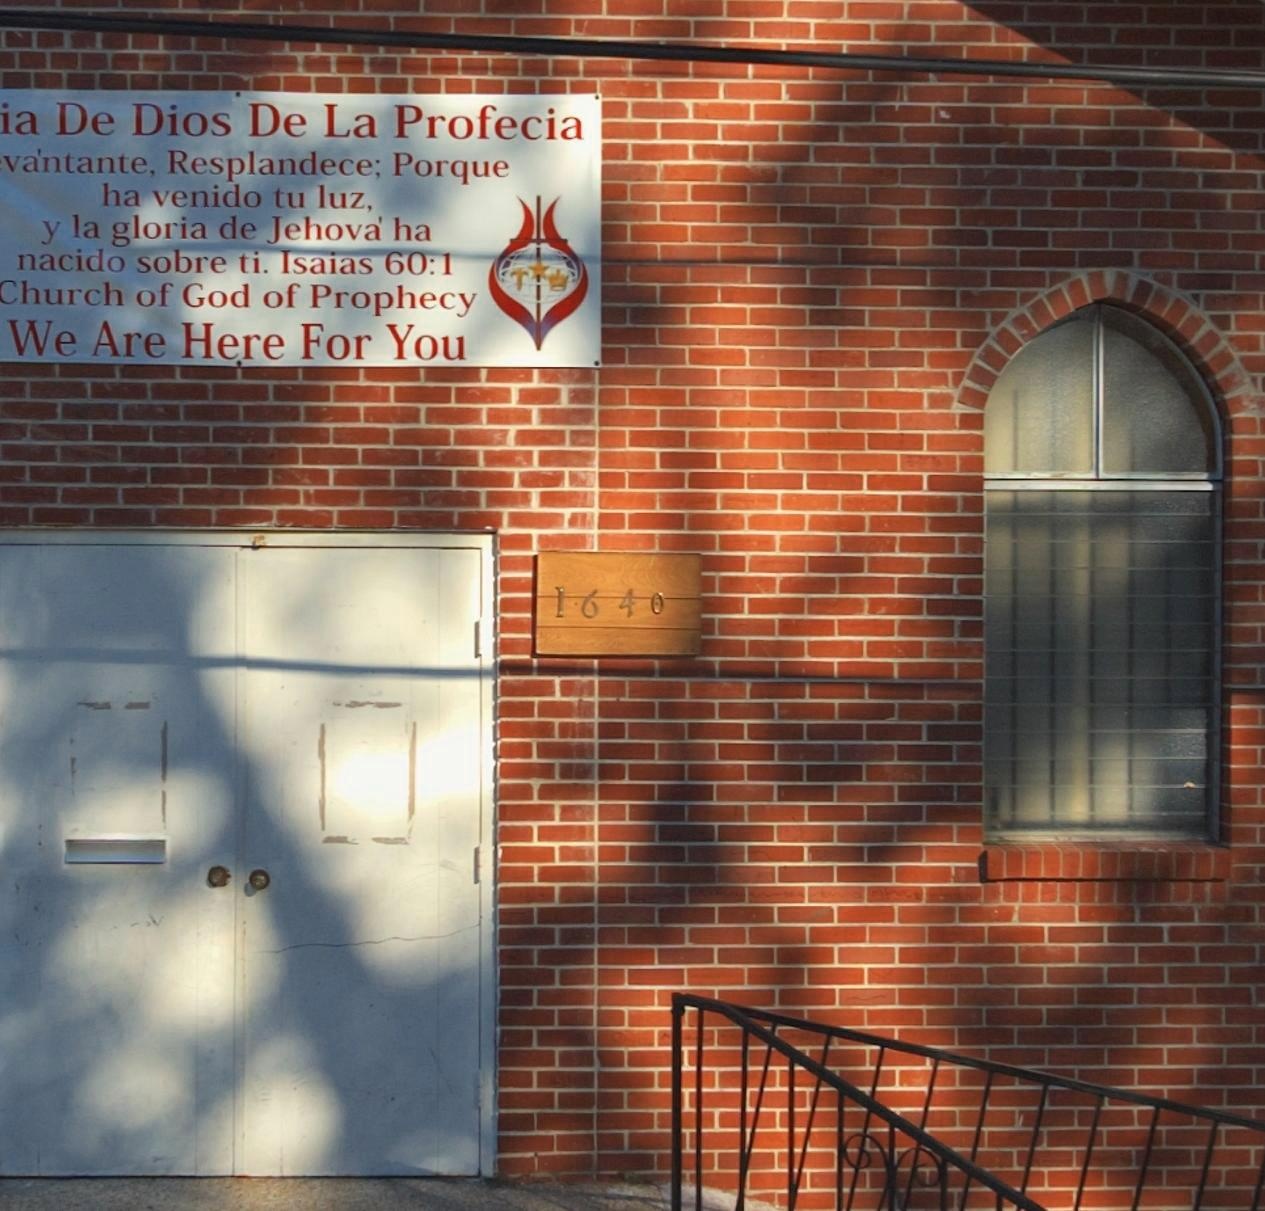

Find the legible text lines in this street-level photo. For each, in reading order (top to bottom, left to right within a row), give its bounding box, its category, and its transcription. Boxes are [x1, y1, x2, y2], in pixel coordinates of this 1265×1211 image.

[12, 100, 586, 142] None: a De Dios De La Profecia
[0, 148, 510, 186] None: vantante, Resplandece; Porque
[100, 181, 368, 211] None: ha venido tu luz
[39, 213, 434, 248] None: y la gloria de Jehova ha
[16, 248, 454, 277] None: nacido sobre ti Isaias 60:1
[20, 278, 478, 319] None: hurch of God of Prophecy
[5, 317, 468, 361] None: We Are Here For You
[554, 584, 667, 620] StreetNumber: 1646